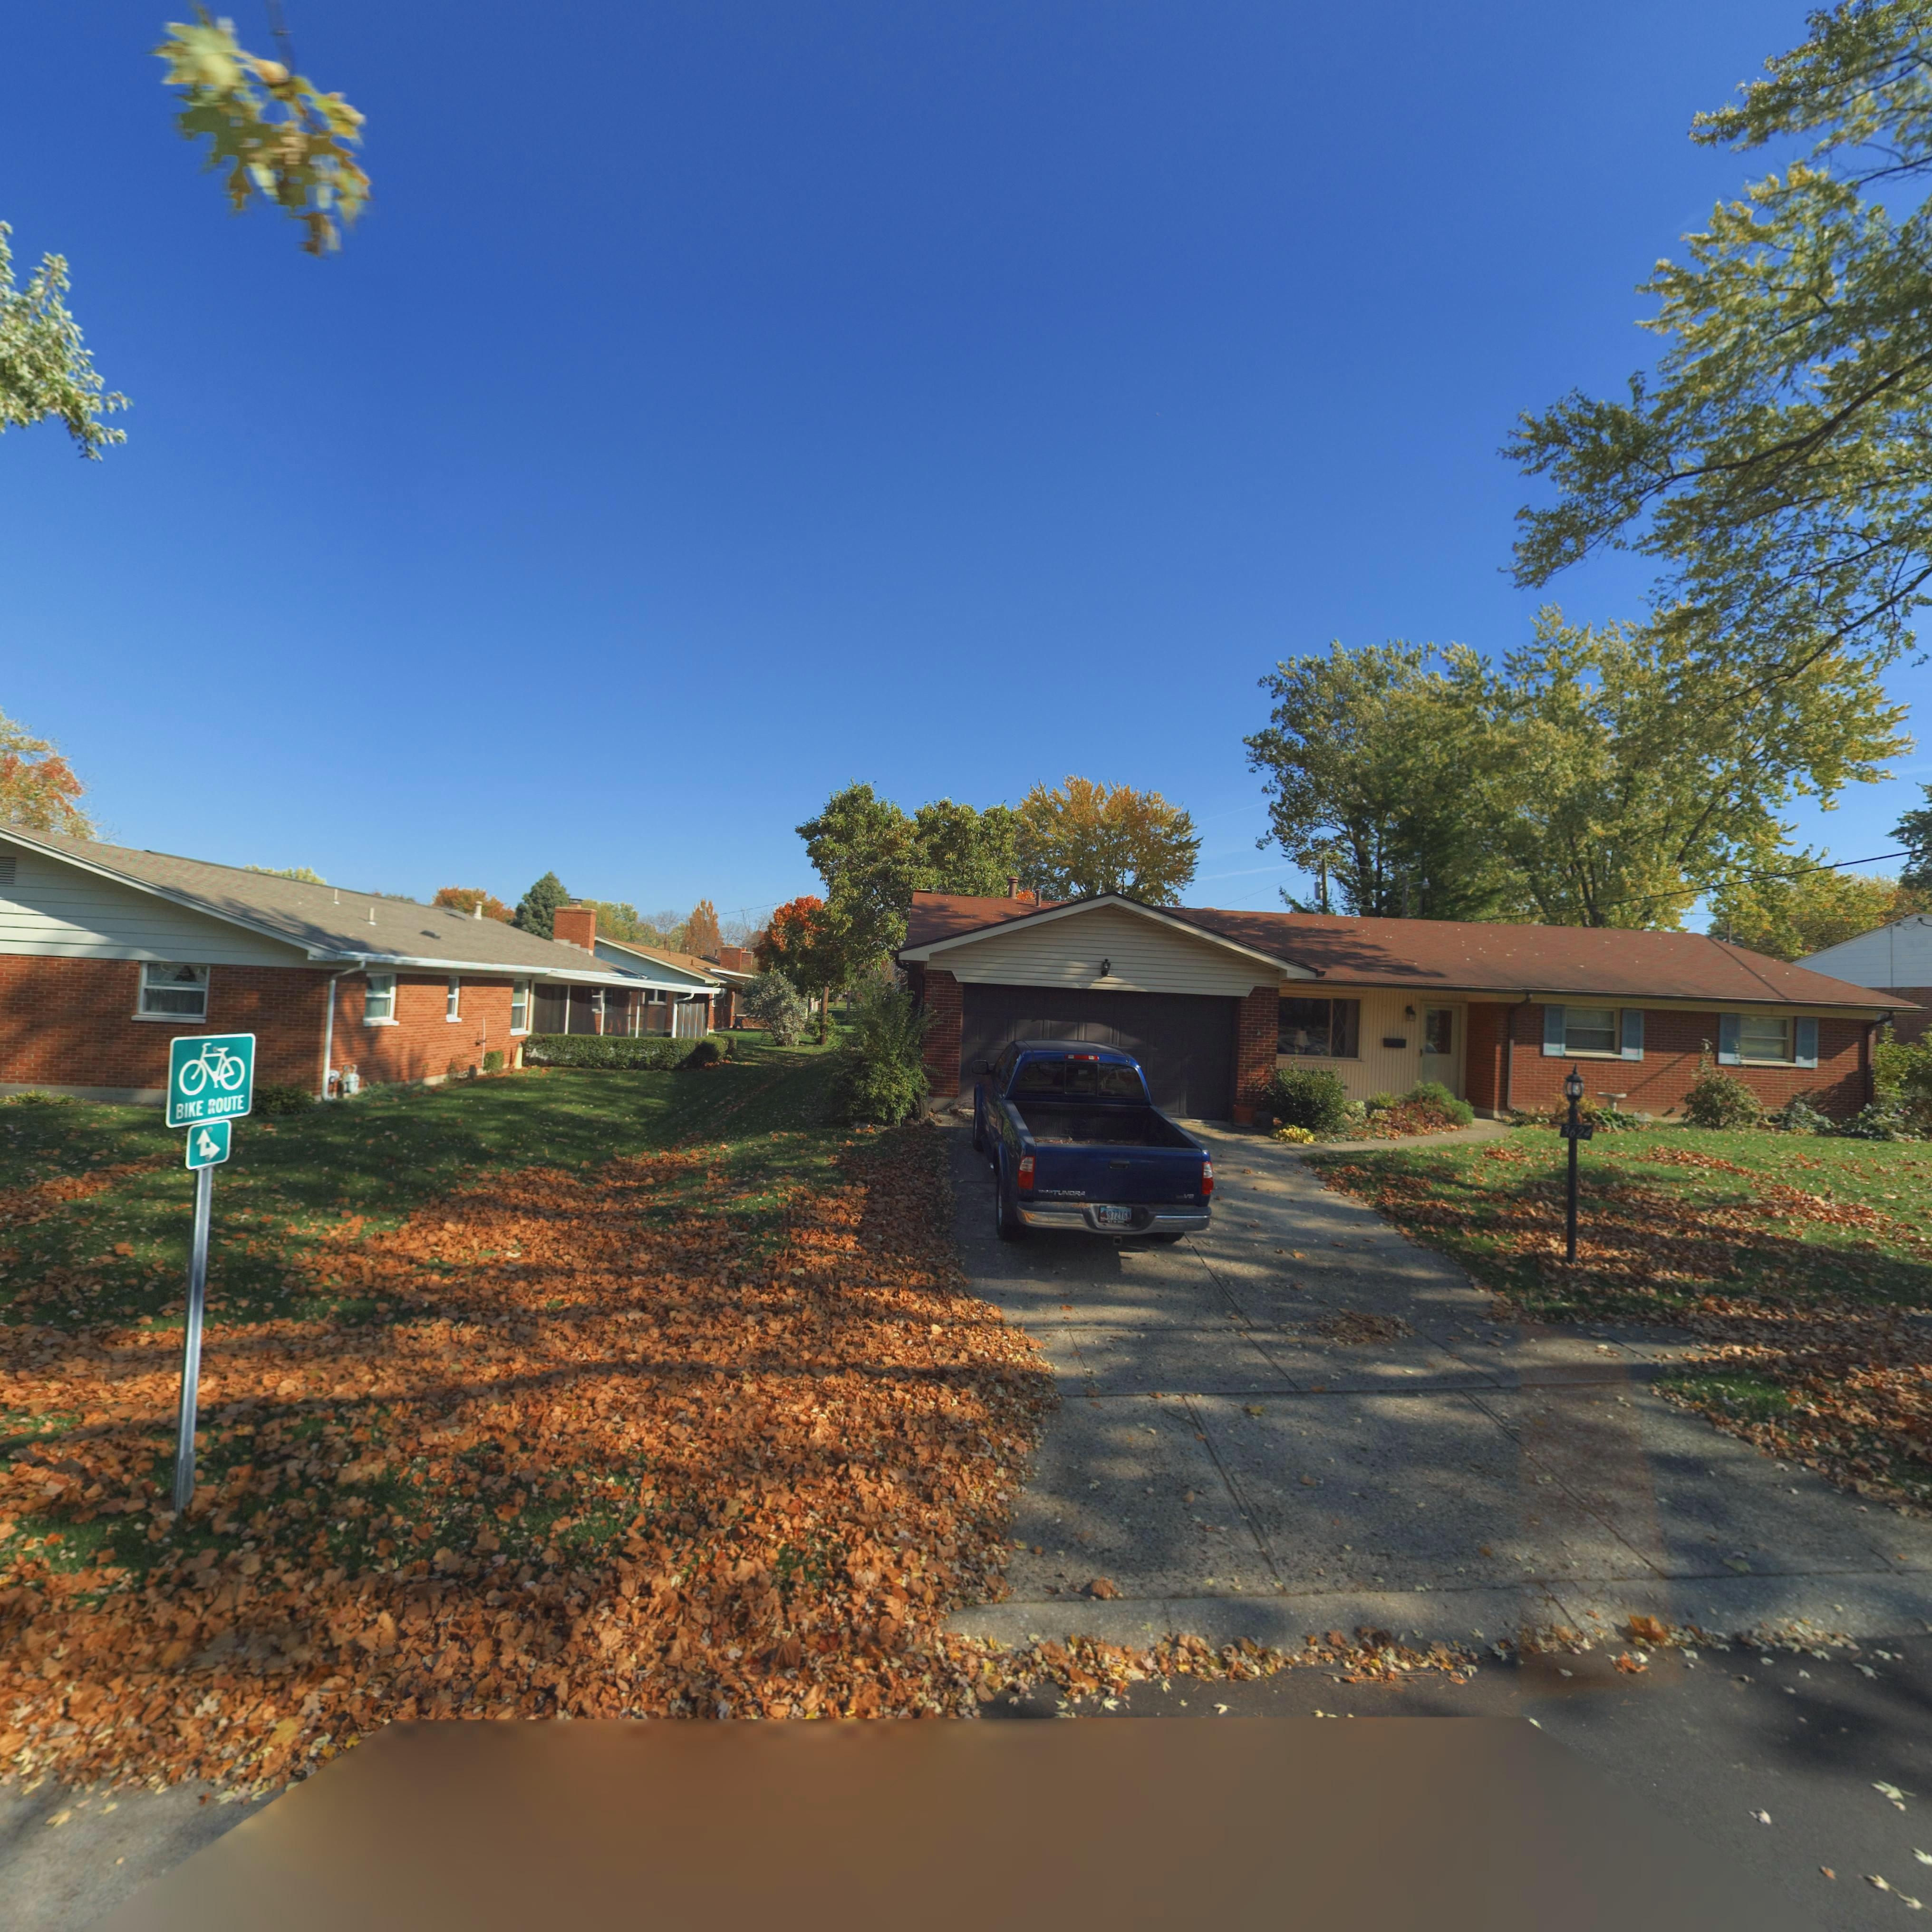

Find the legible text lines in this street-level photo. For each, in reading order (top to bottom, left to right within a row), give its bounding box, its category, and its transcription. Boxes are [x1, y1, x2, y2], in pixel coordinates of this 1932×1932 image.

[174, 1092, 246, 1121] None: BIKE ROUTE
[1560, 1123, 1594, 1140] StreetNumber: 3624
[1052, 1188, 1087, 1197] None: TUNDRA
[1182, 1193, 1196, 1200] None: V8
[1107, 1209, 1131, 1220] None: 872YGN